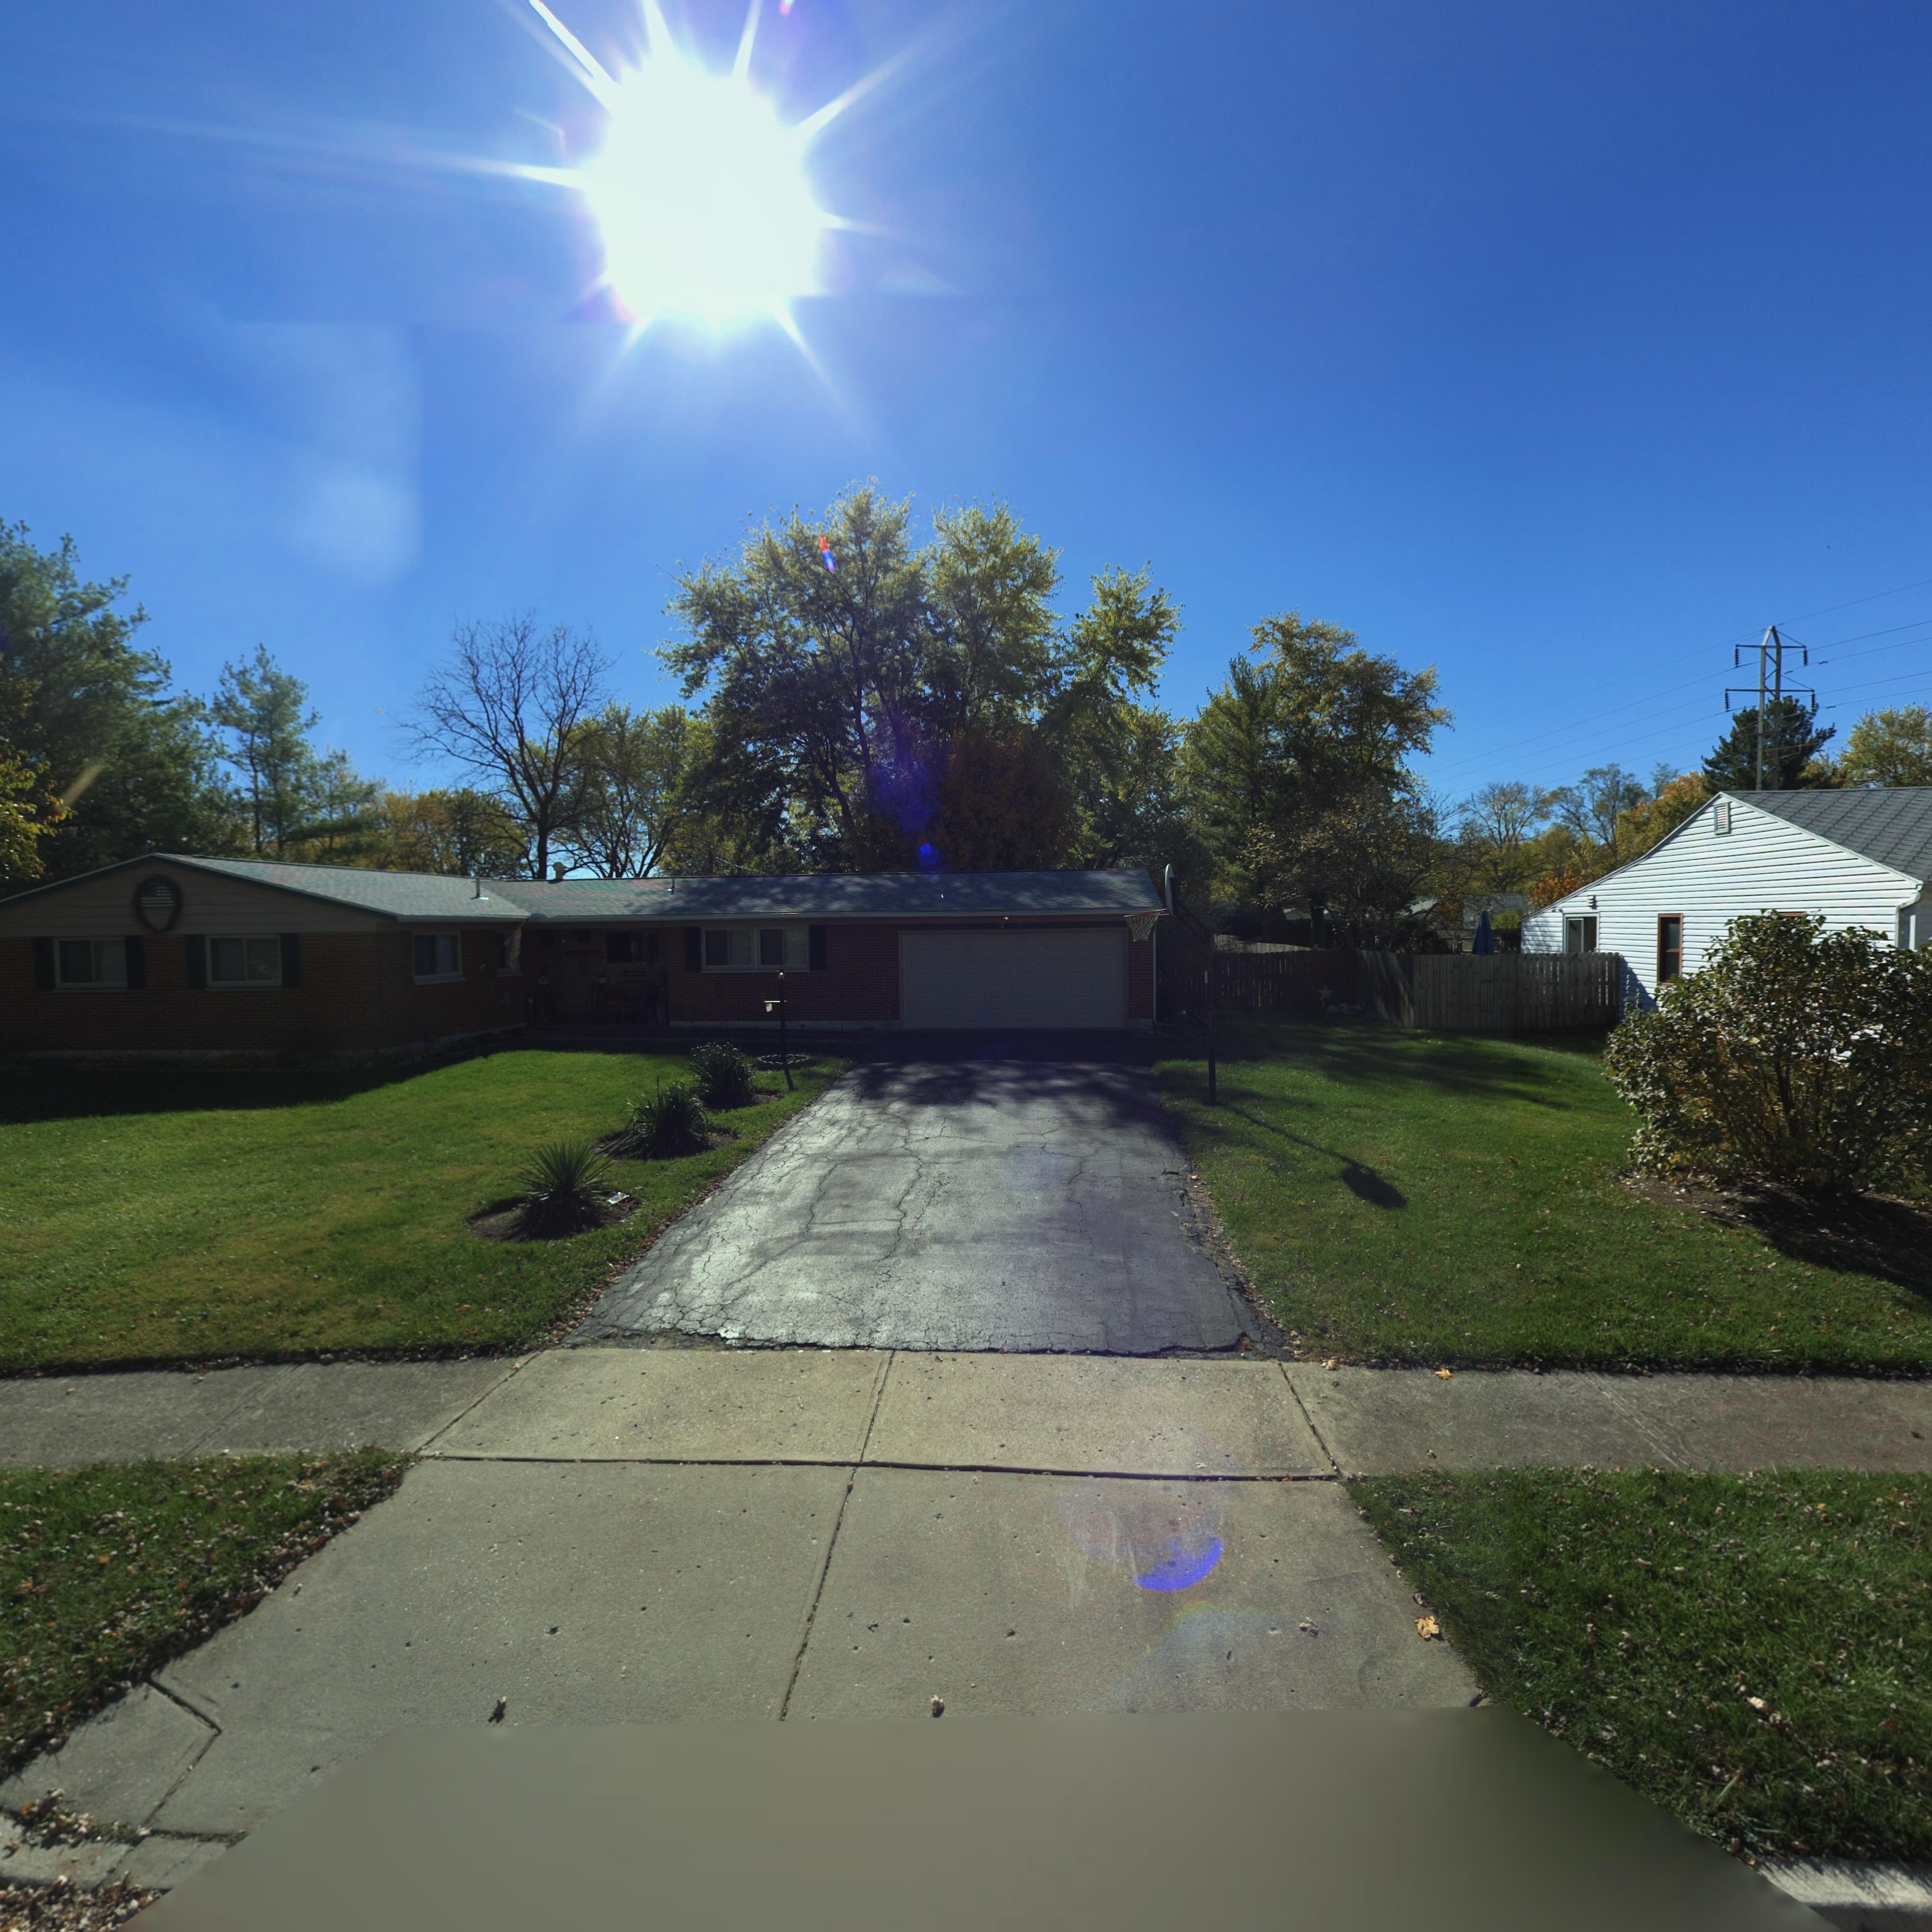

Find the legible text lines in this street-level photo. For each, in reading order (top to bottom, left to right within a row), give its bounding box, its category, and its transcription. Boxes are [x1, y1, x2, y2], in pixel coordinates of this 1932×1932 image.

[1000, 923, 1005, 929] StreetNumber: 2